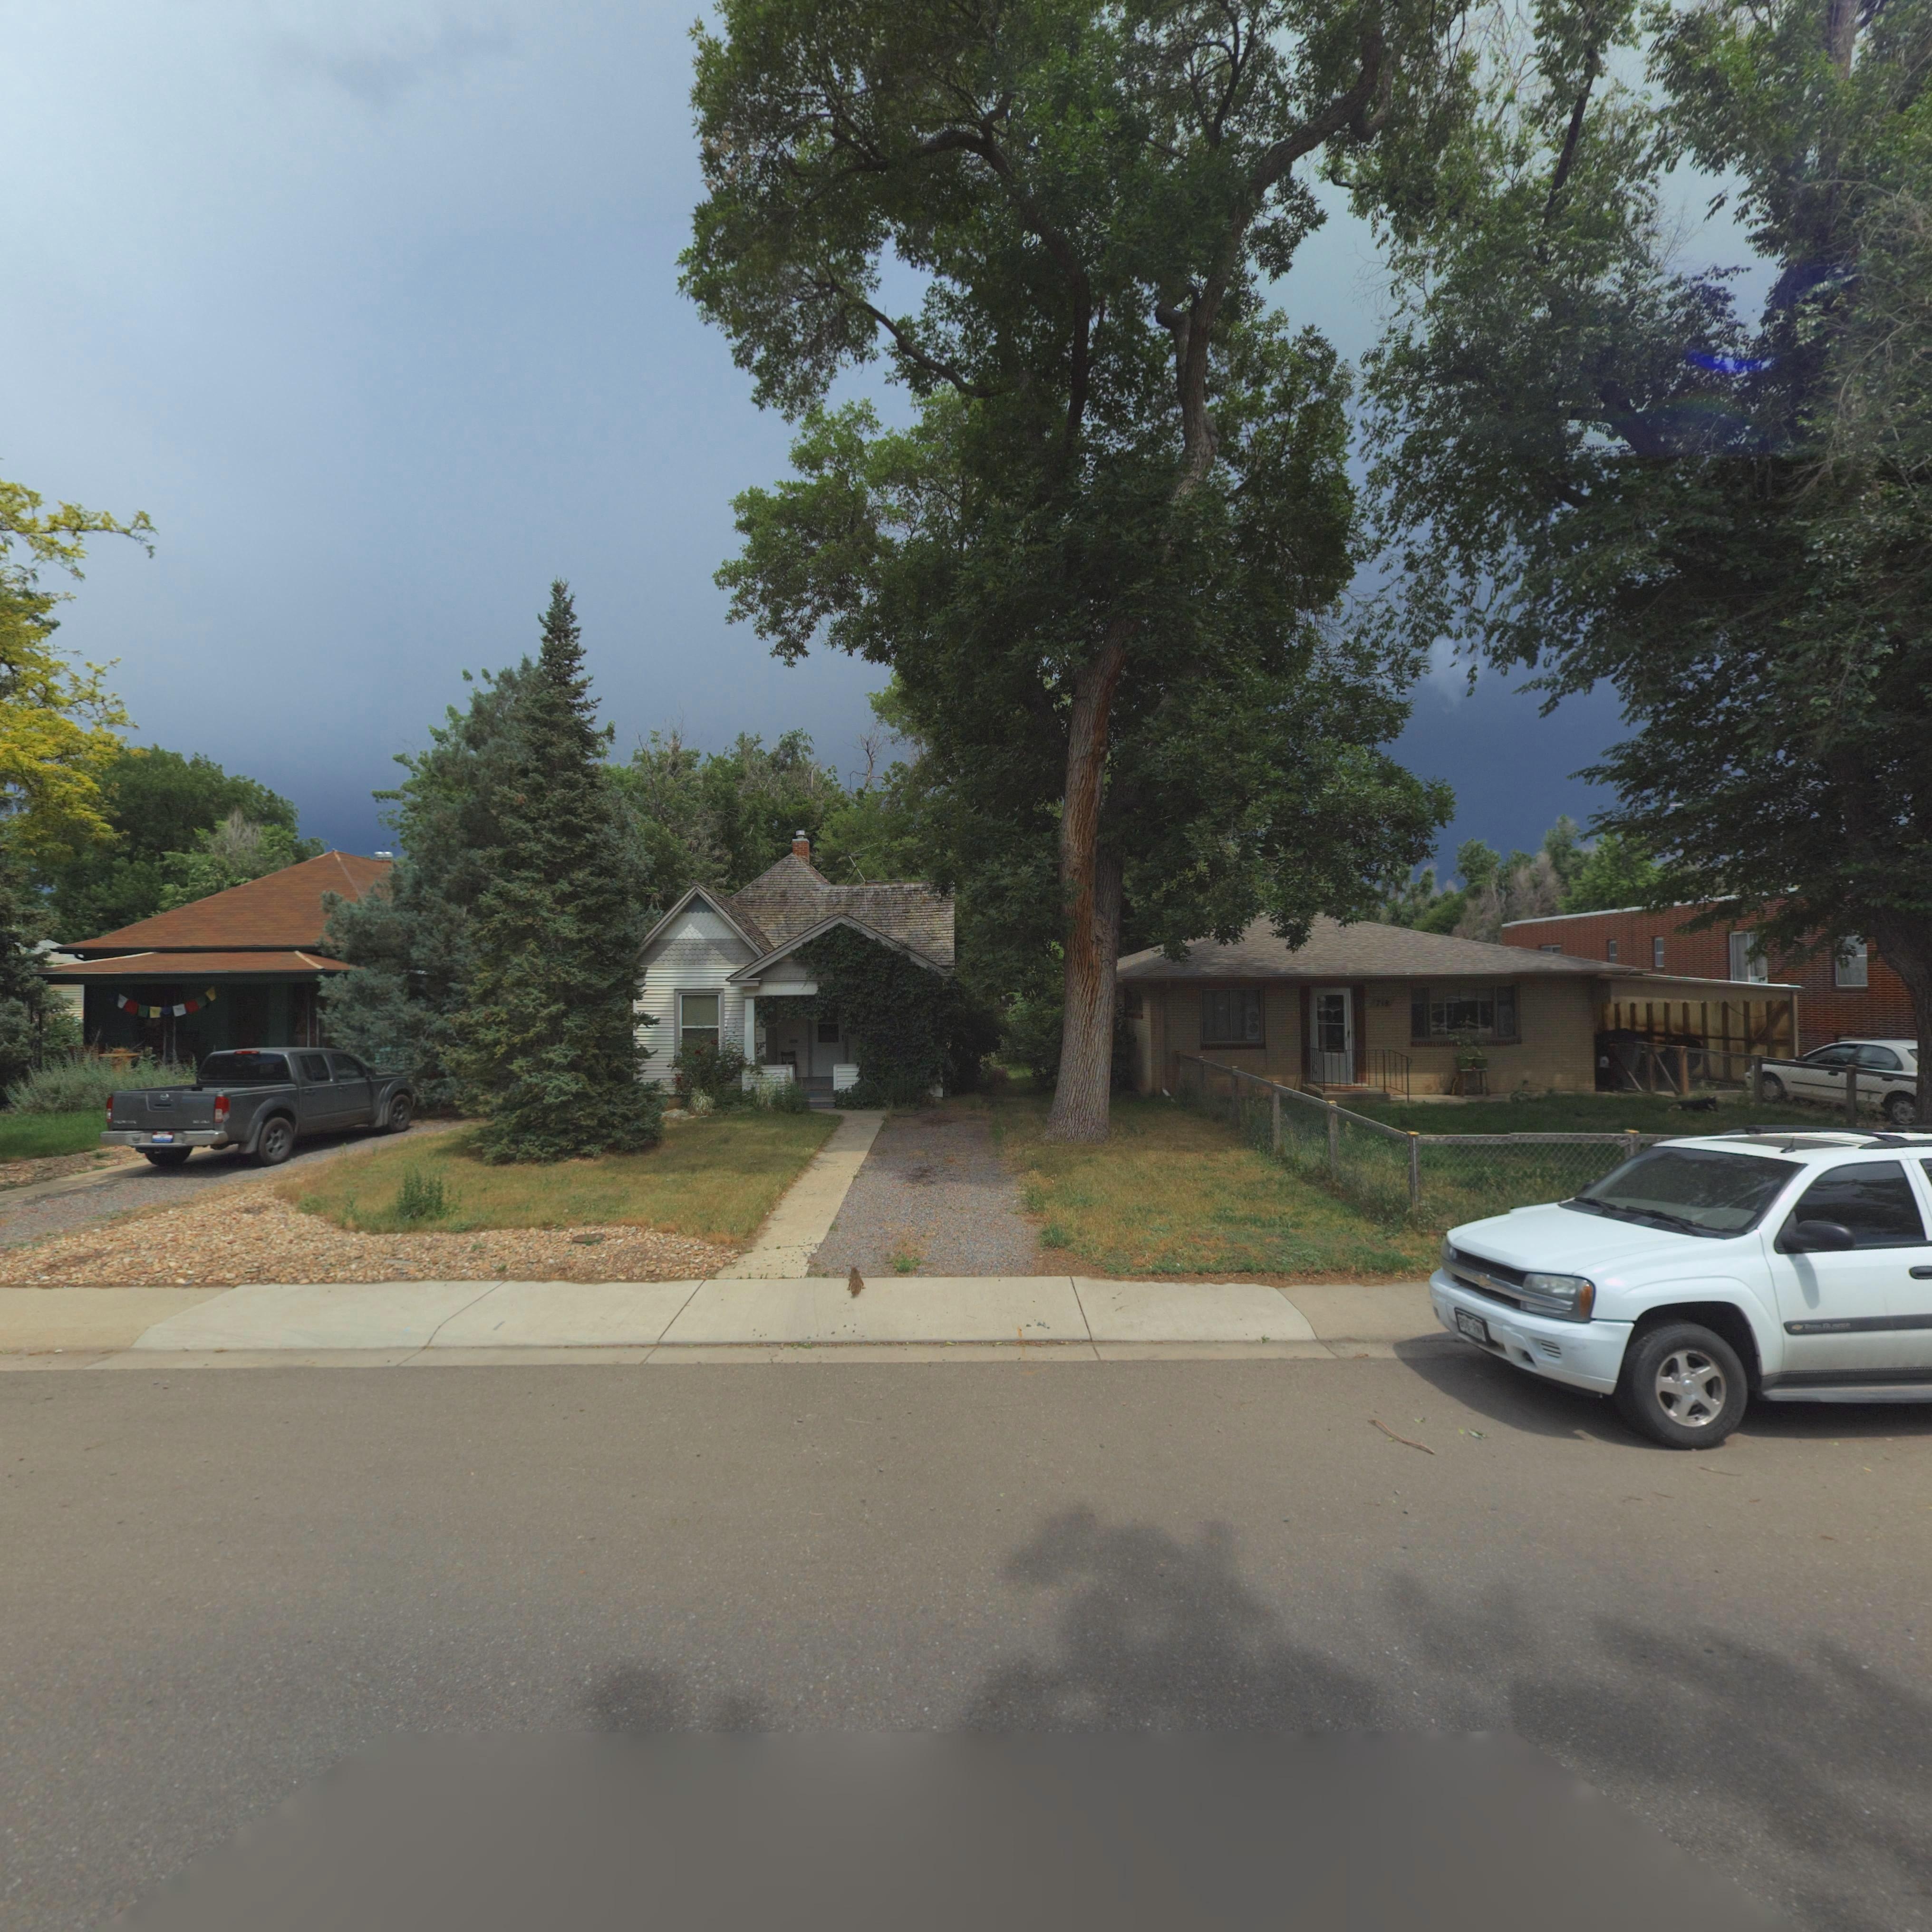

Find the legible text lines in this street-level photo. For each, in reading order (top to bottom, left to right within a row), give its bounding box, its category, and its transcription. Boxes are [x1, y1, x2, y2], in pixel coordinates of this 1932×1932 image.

[1375, 999, 1390, 1007] StreetNumber: 718